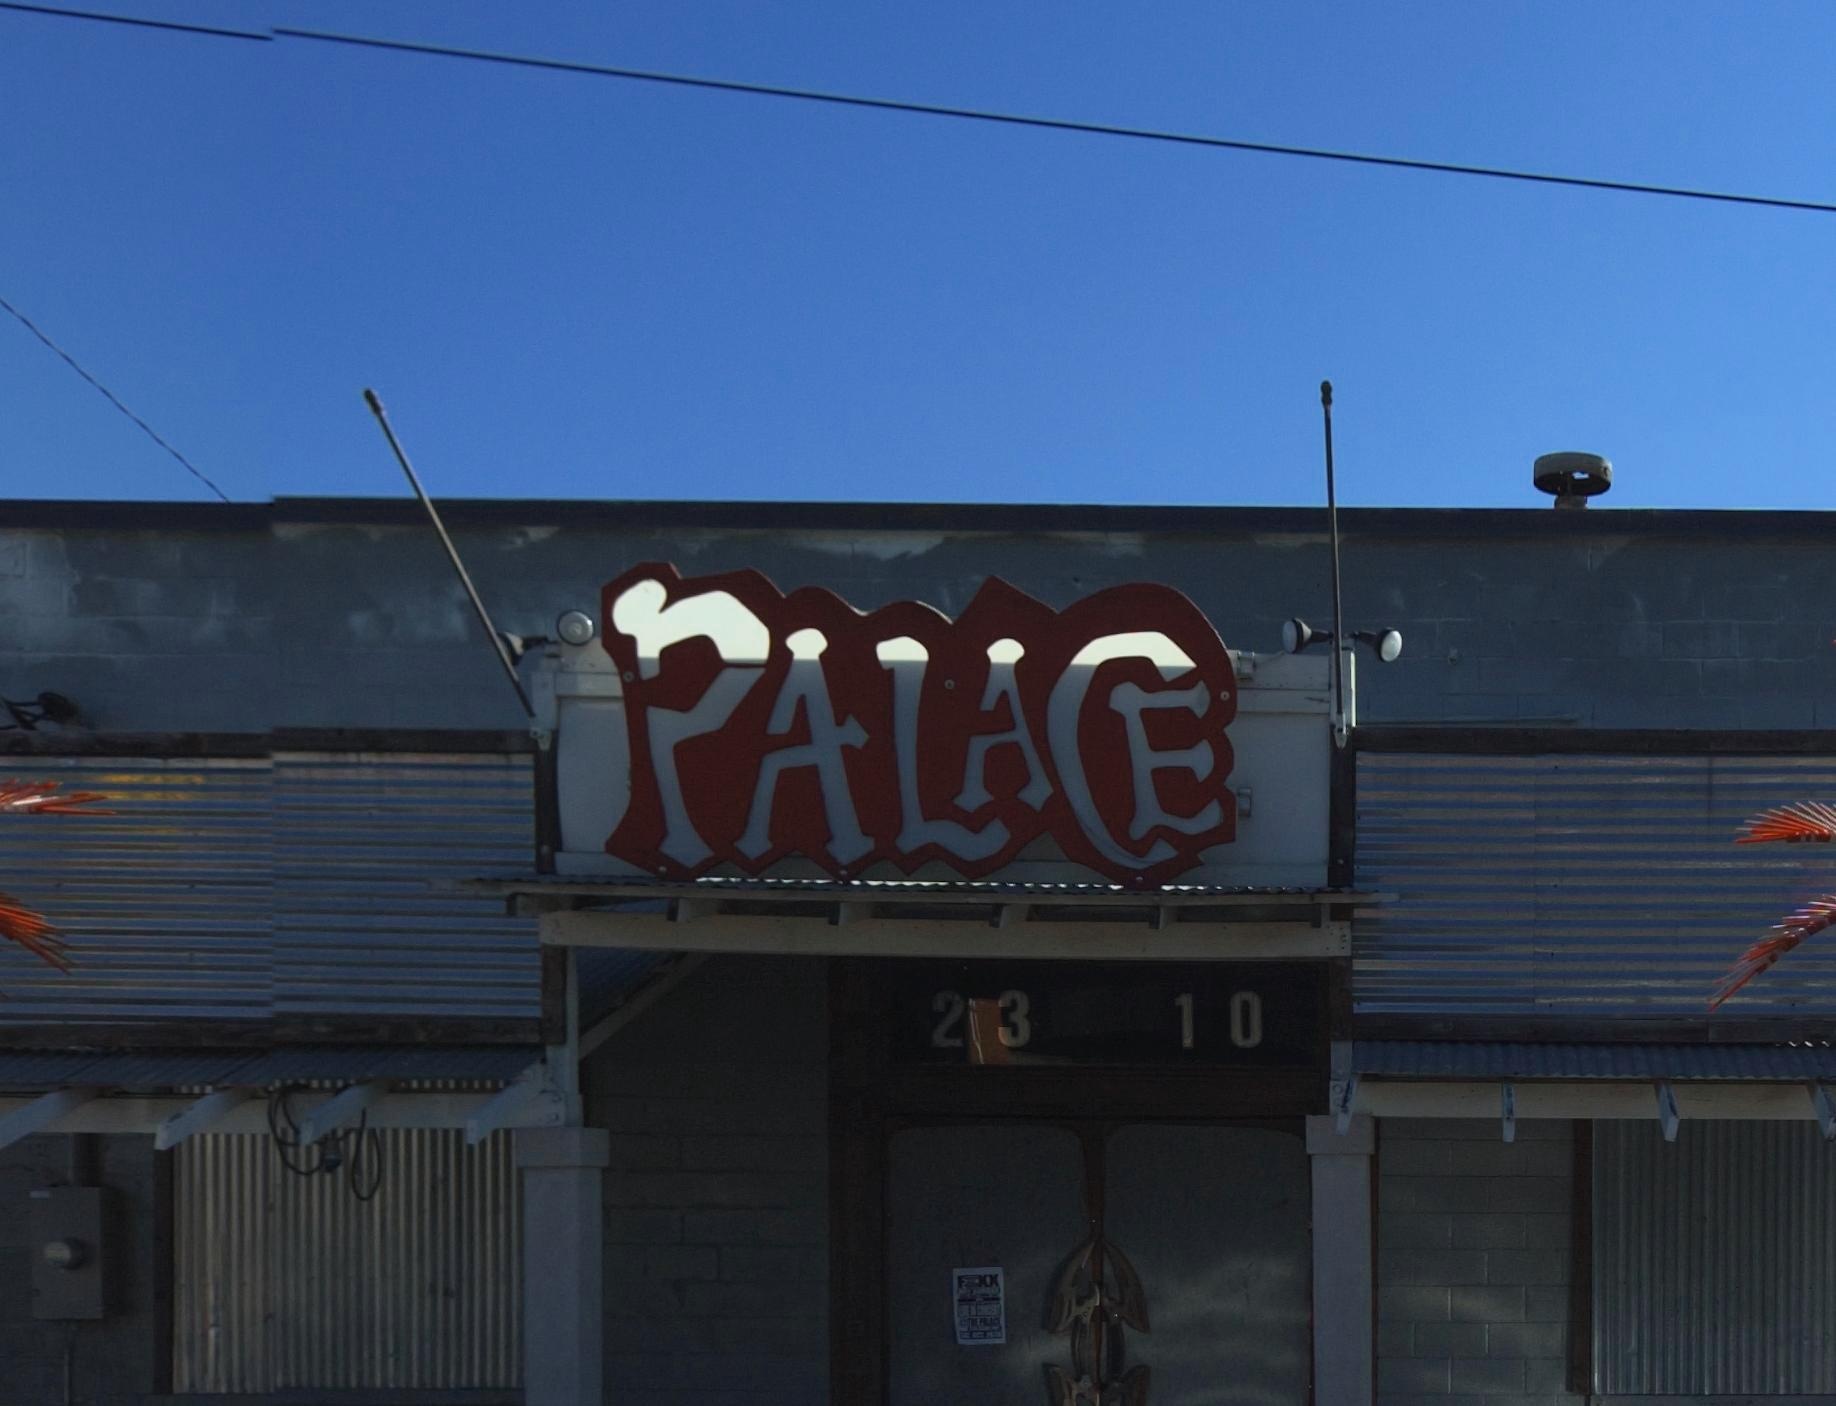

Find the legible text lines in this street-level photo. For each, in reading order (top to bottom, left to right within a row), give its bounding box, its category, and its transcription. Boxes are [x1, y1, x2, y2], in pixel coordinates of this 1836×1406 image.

[588, 568, 1249, 876] BusinessName: PALACE
[924, 983, 1269, 1057] StreetNumber: 23 10